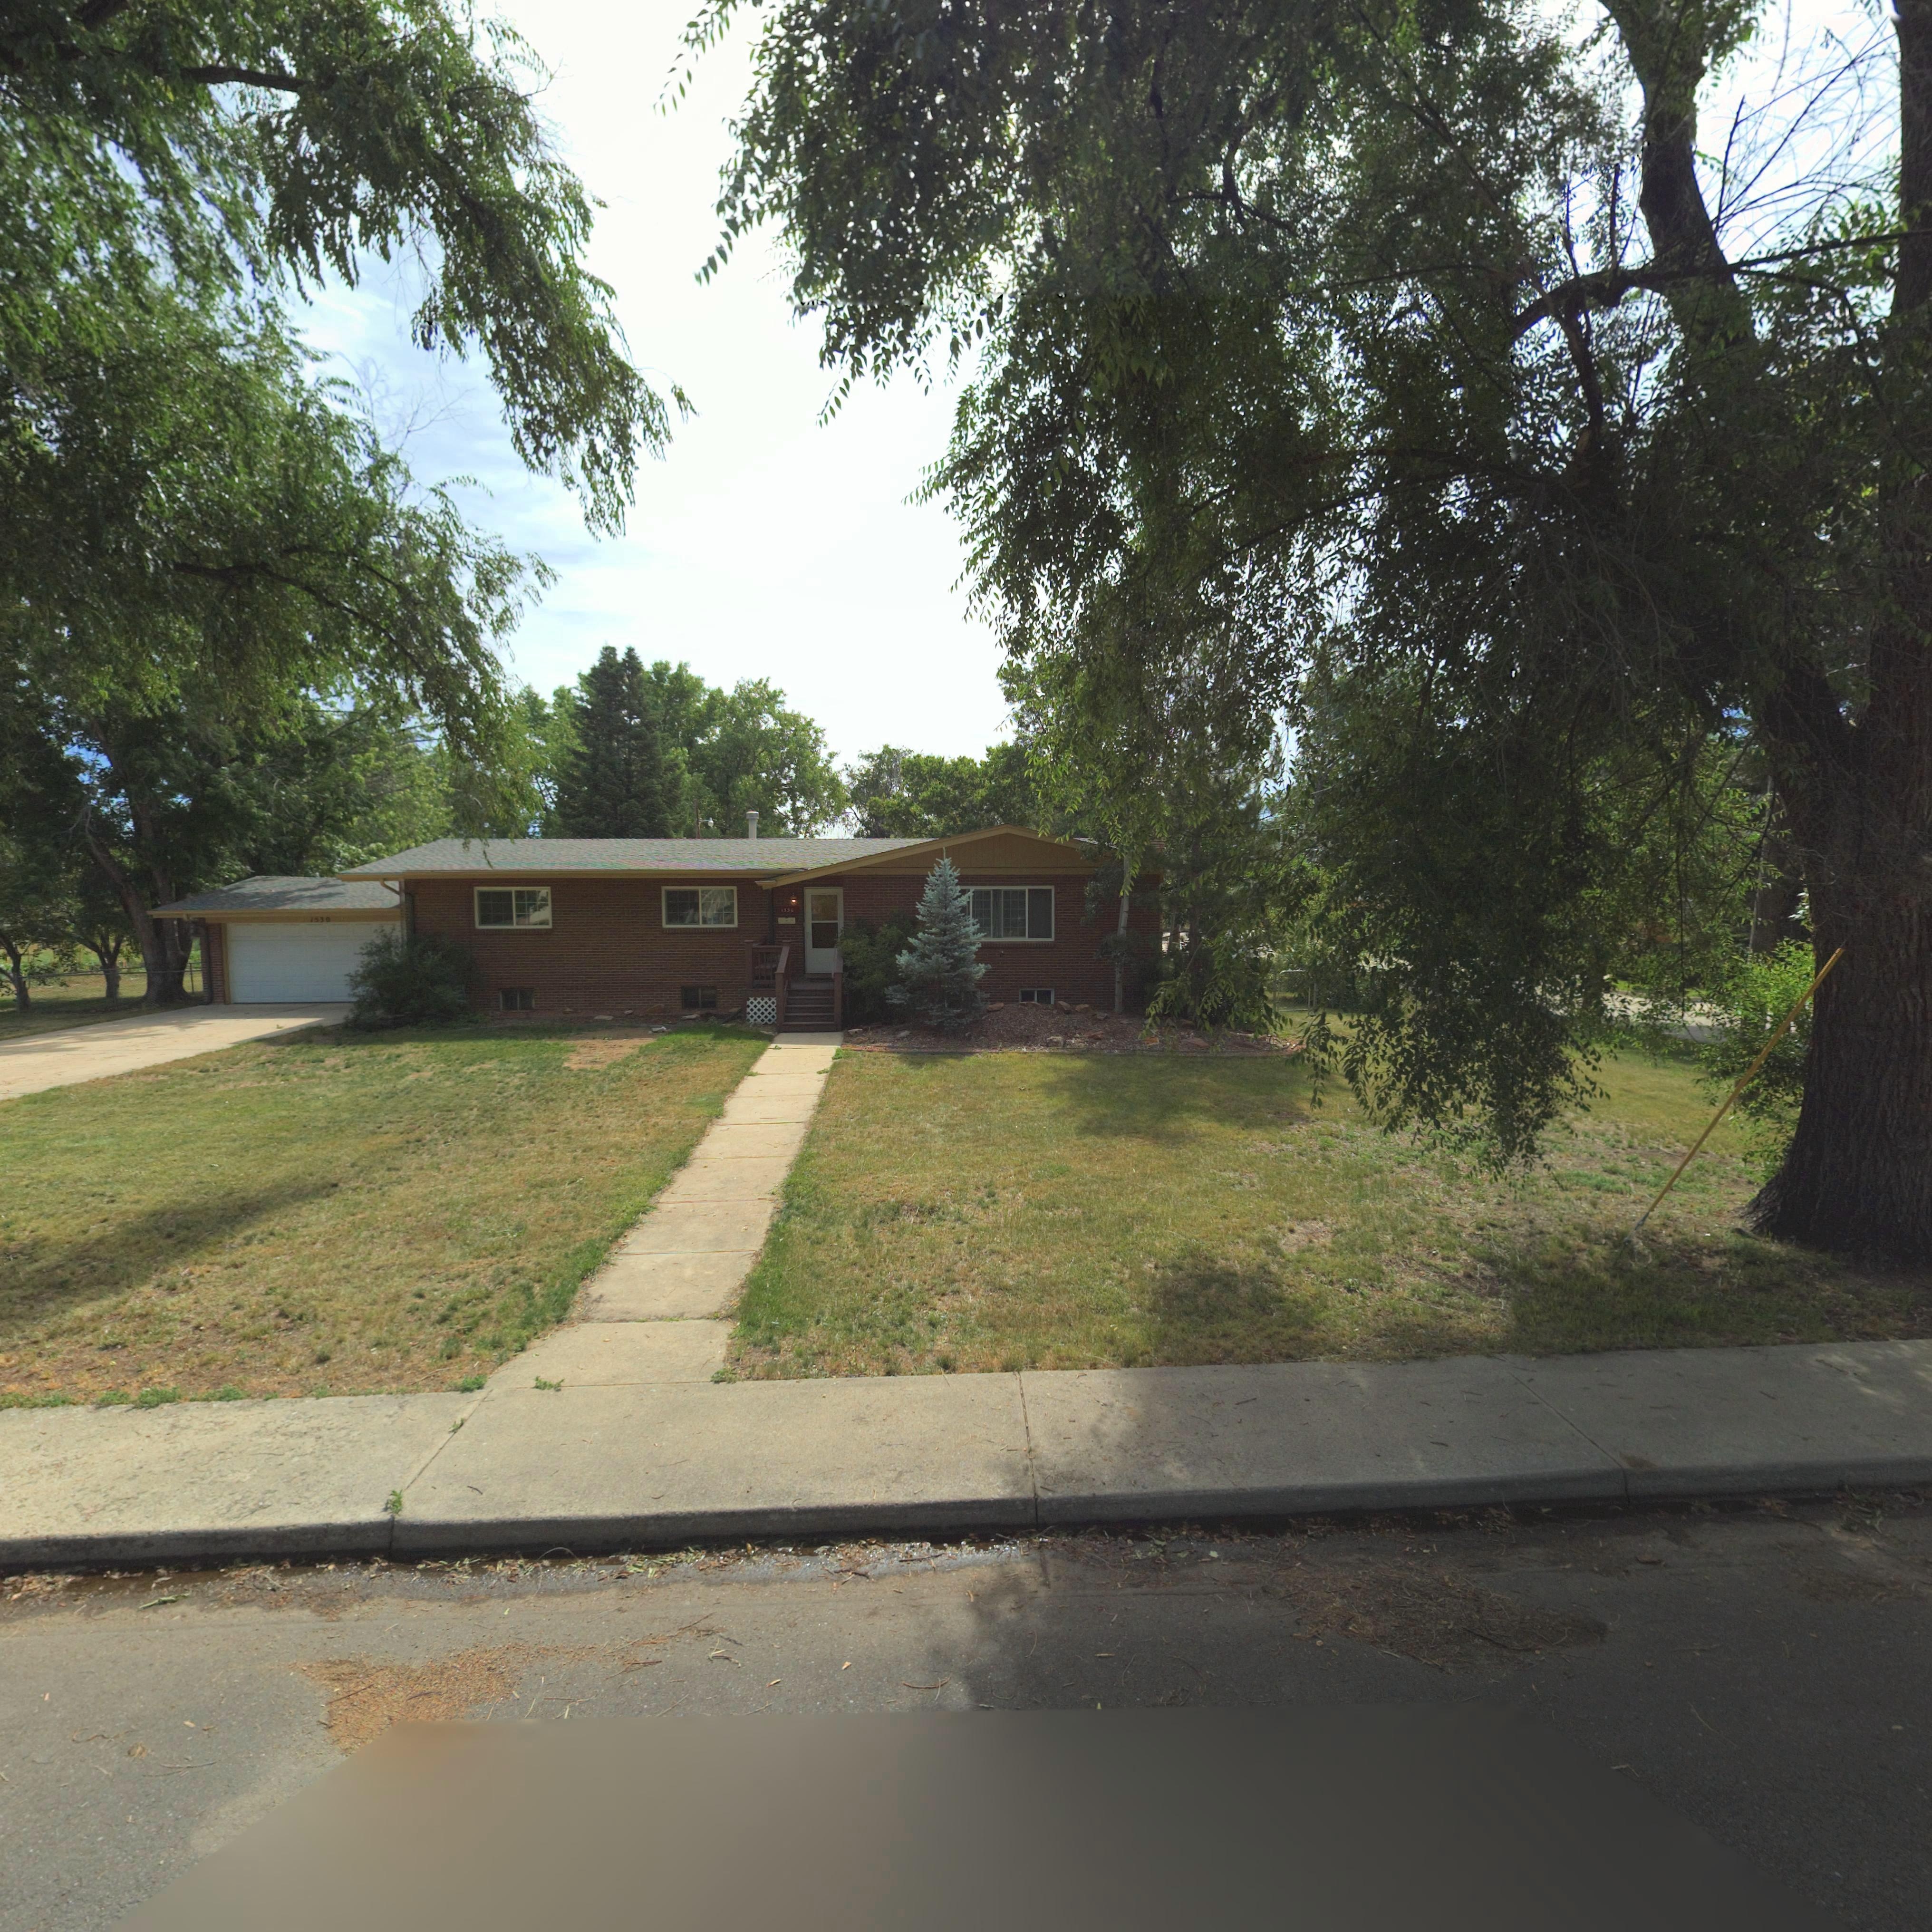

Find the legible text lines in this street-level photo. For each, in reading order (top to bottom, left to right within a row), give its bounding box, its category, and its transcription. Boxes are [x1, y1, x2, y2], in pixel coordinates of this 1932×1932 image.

[781, 908, 794, 912] StreetNumber: 1***
[309, 917, 330, 923] StreetNumber: 1530